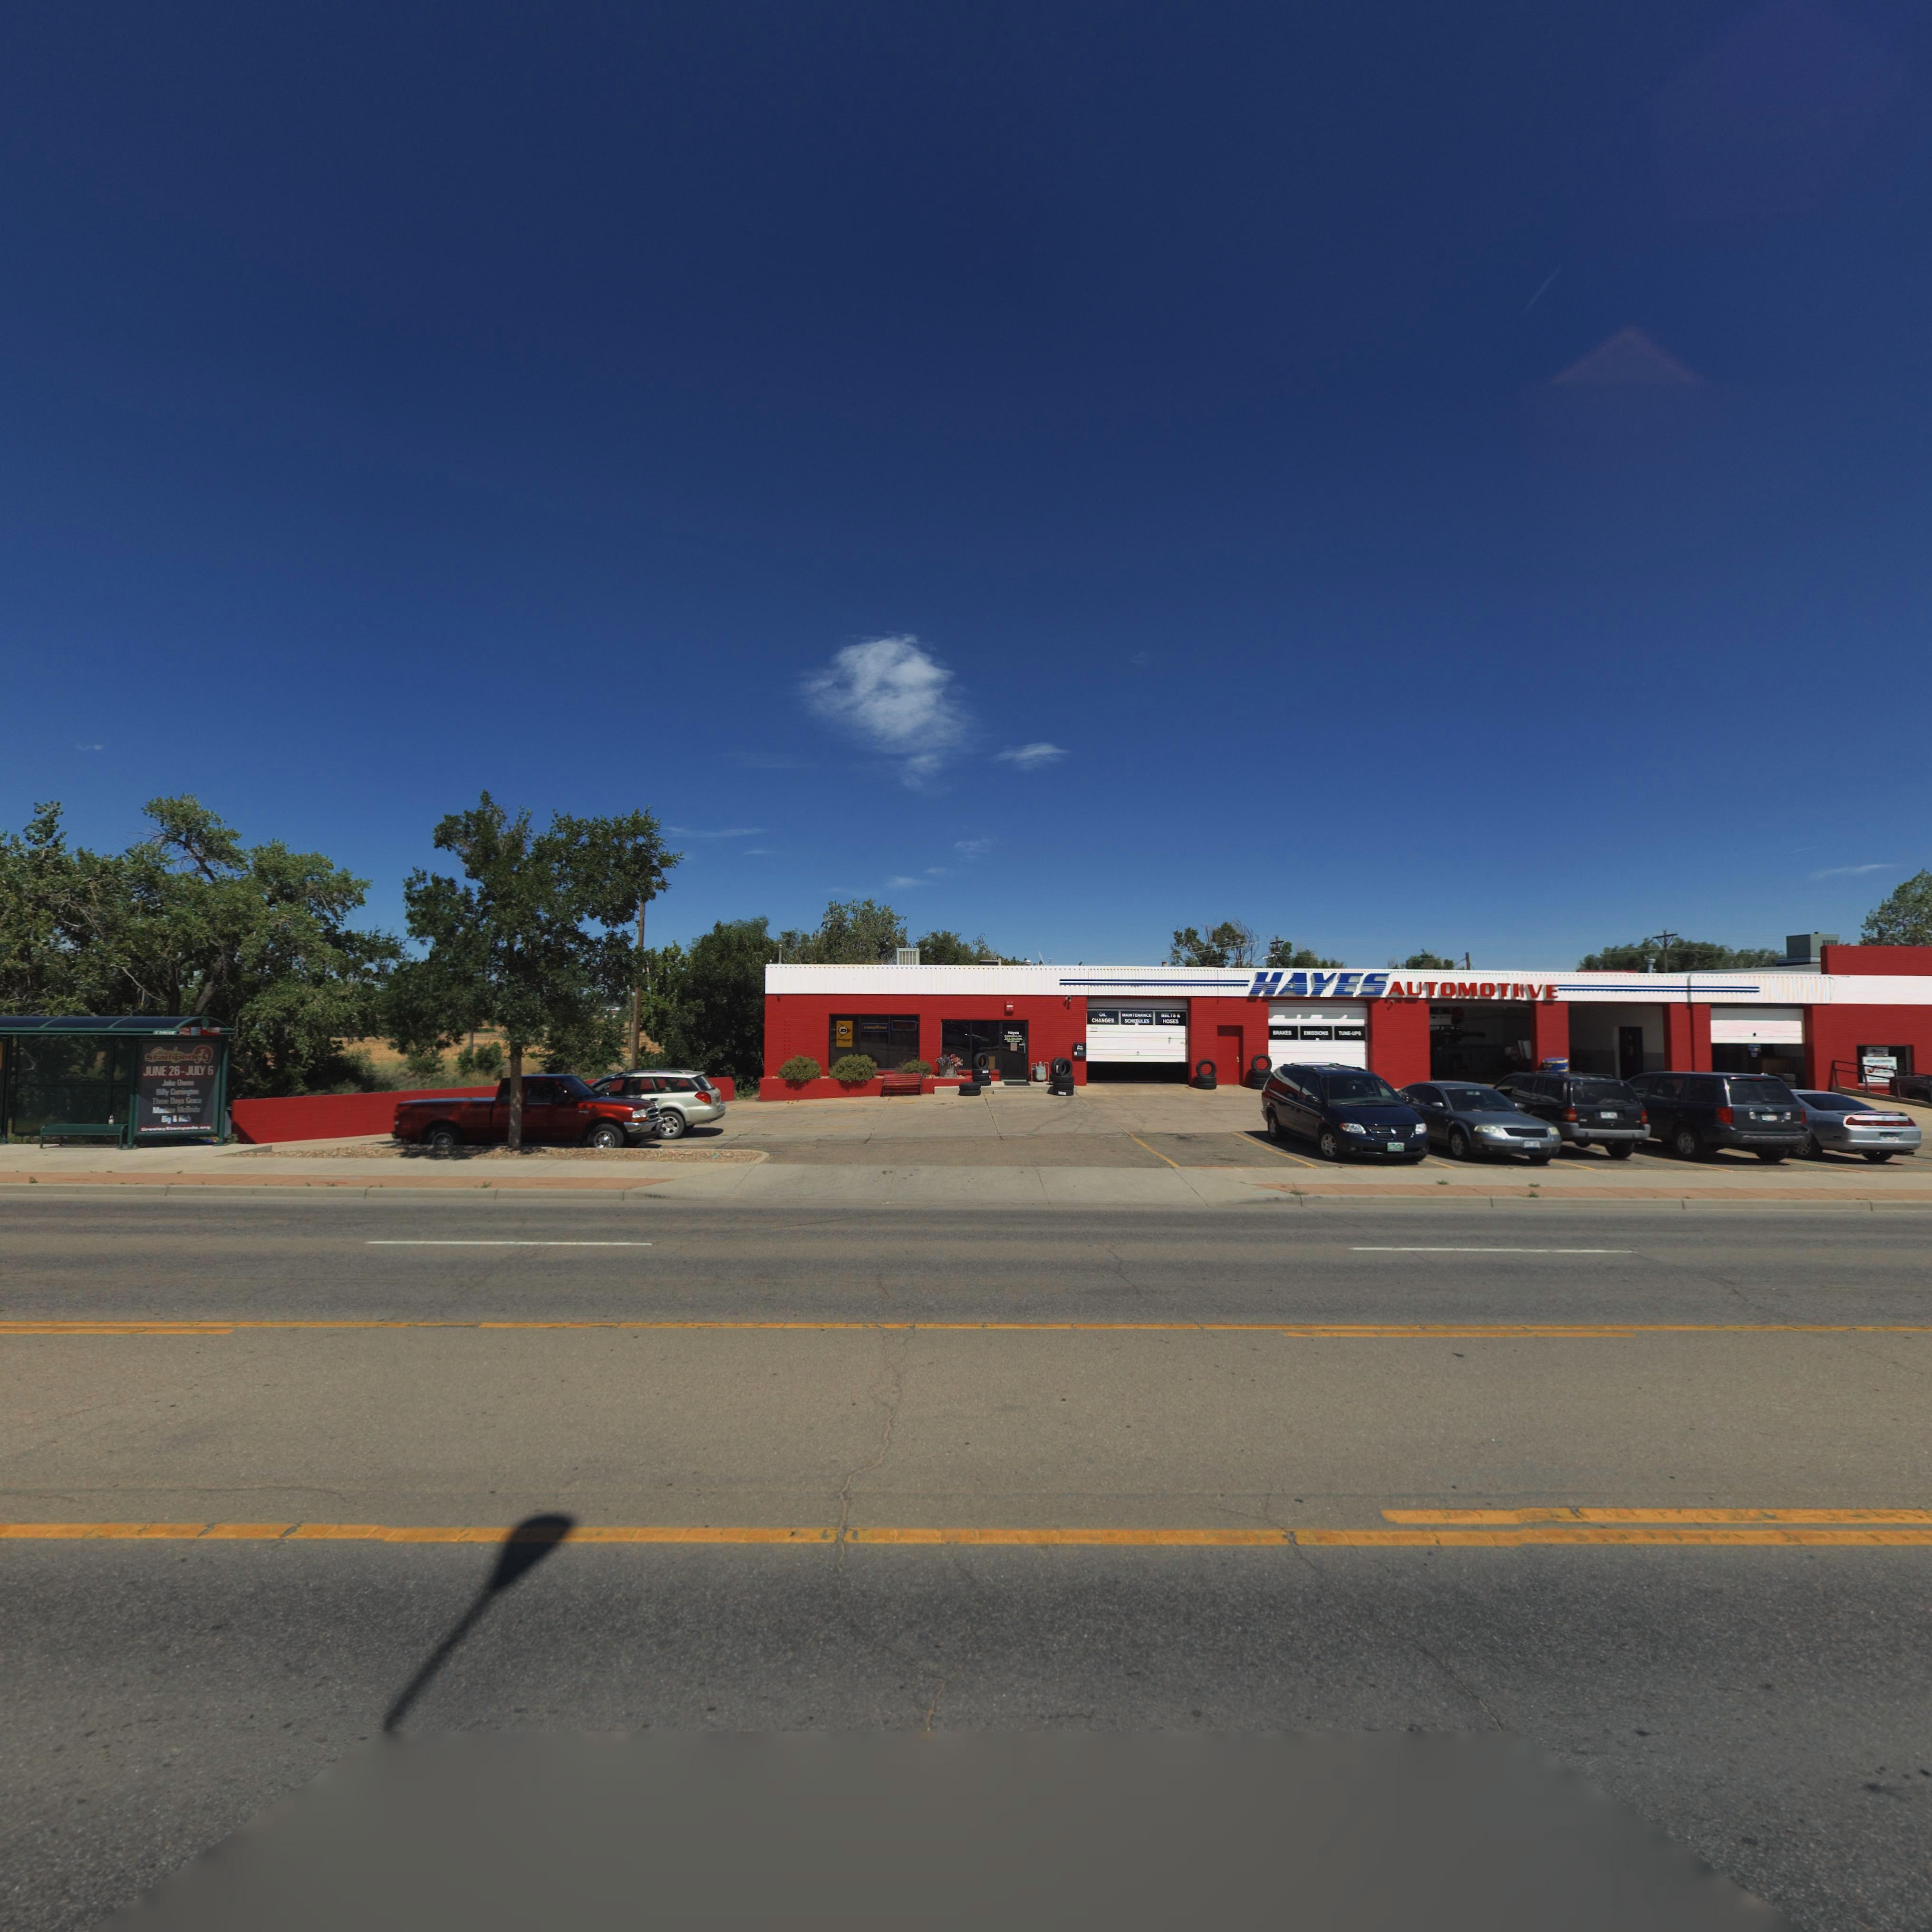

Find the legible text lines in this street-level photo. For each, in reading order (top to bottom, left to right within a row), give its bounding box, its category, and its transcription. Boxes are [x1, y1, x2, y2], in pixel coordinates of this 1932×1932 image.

[1246, 968, 1561, 1001] BusinessName: HAYES AUTOMOTIVE